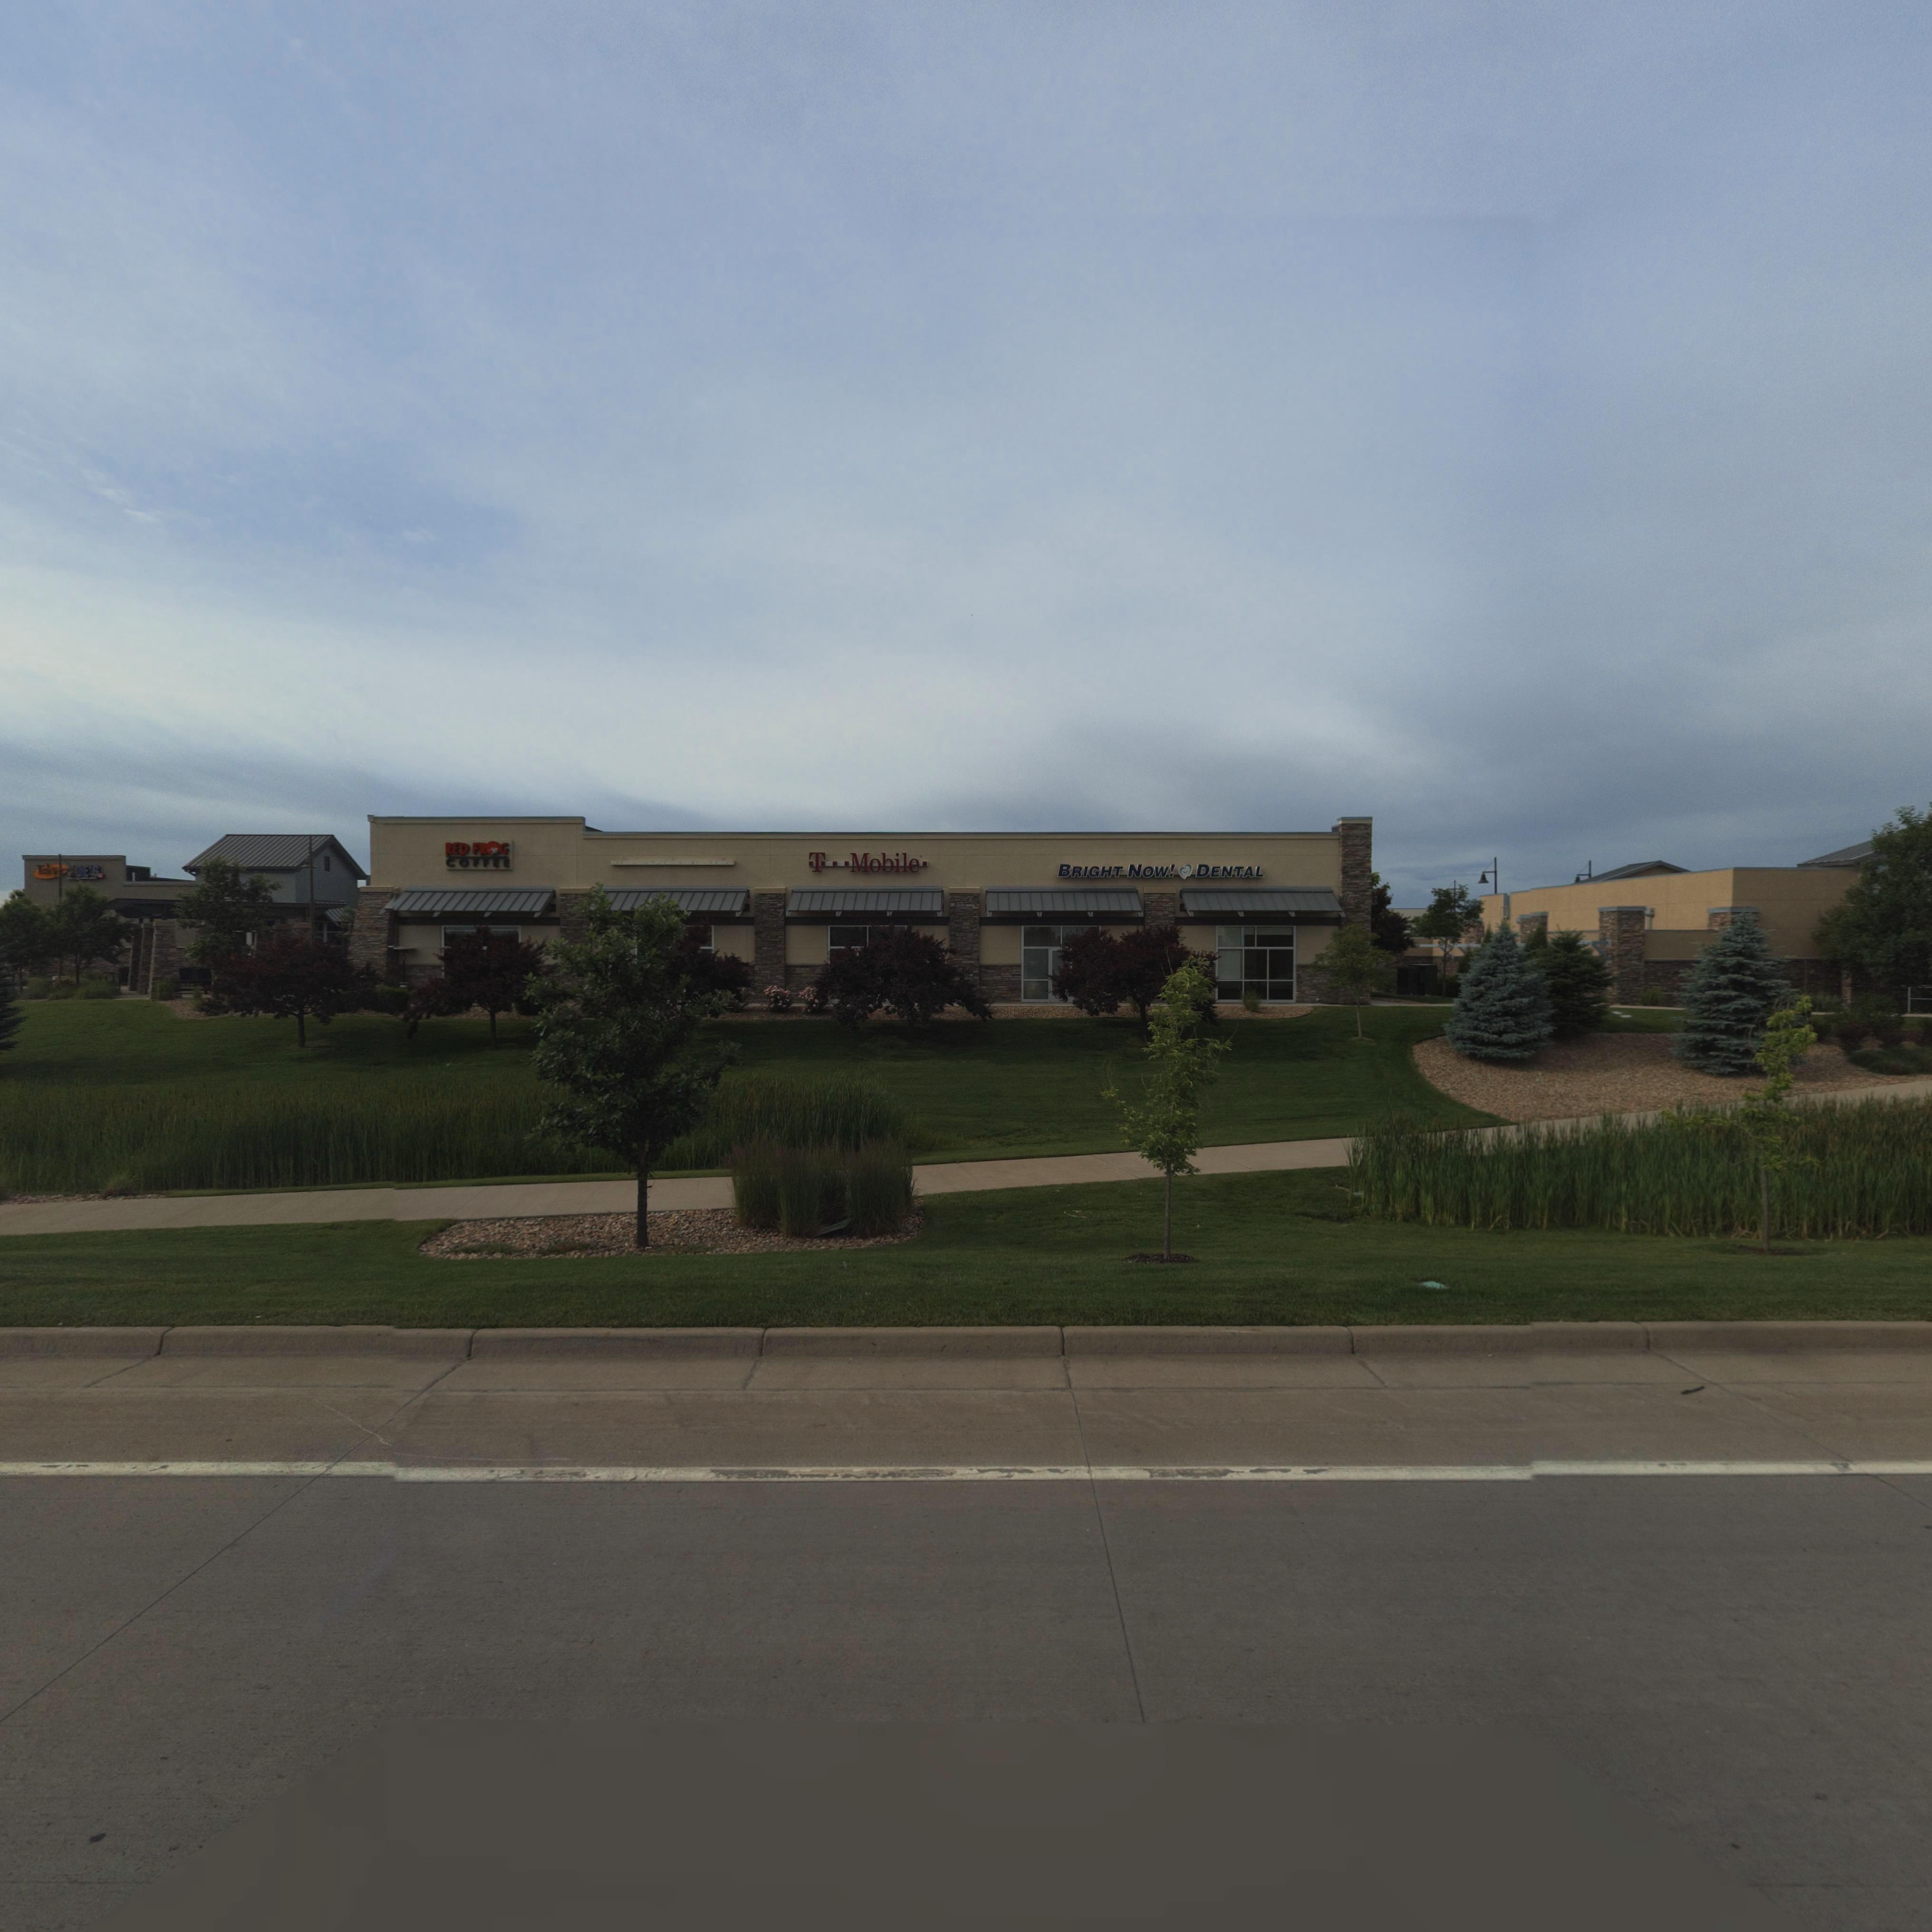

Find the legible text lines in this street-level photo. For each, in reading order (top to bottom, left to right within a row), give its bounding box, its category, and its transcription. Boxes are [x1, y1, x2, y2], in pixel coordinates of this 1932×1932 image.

[444, 840, 510, 855] BusinessName: RED FR*G
[445, 856, 511, 868] BusinessName: COFFEE
[808, 852, 919, 873] BusinessName: T***Mobile
[34, 862, 105, 879] BusinessName: Tok*** JOE'S
[1056, 863, 1264, 878] BusinessName: BRIGHT NOW! DENTAL